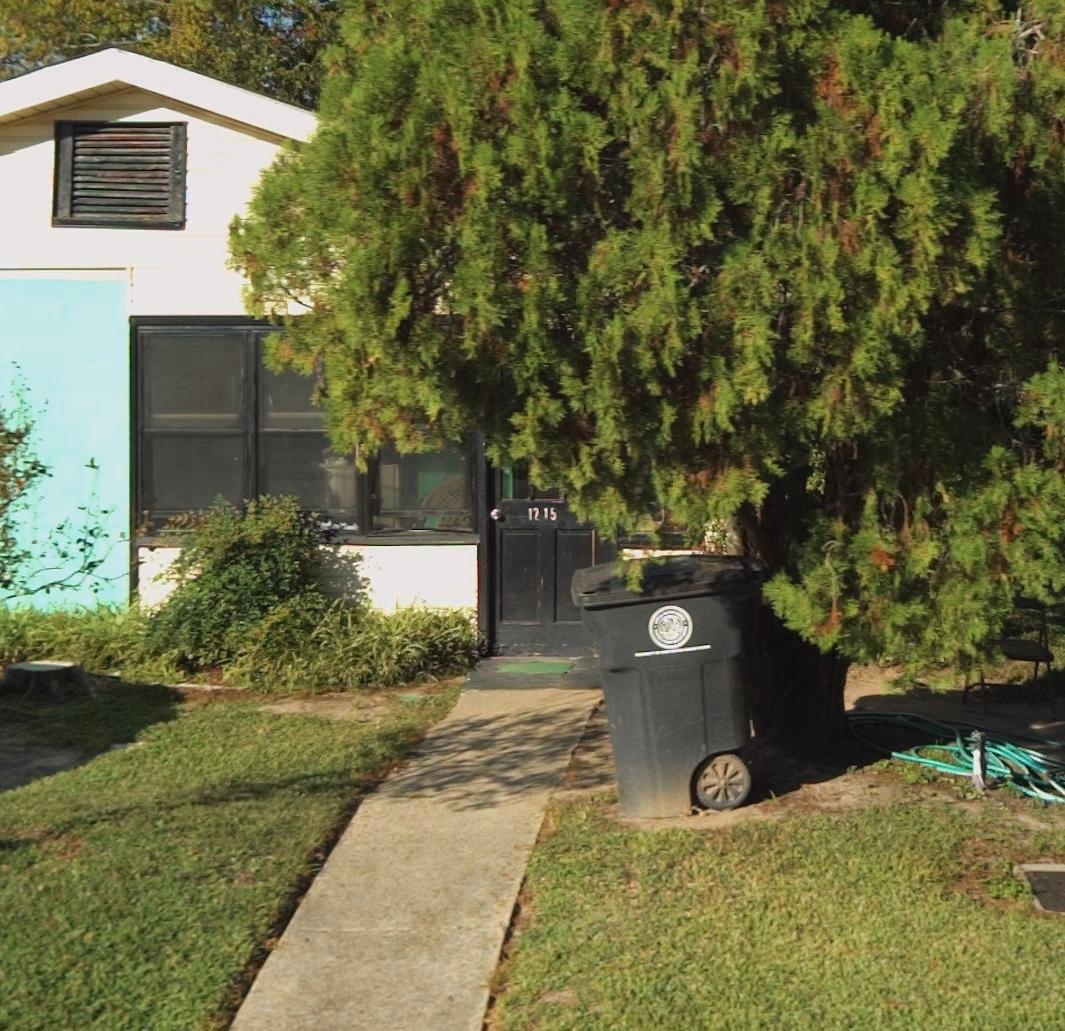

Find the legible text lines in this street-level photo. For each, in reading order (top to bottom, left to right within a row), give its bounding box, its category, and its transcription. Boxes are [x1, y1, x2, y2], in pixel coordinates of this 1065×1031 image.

[526, 505, 559, 523] StreetNumber: 1215